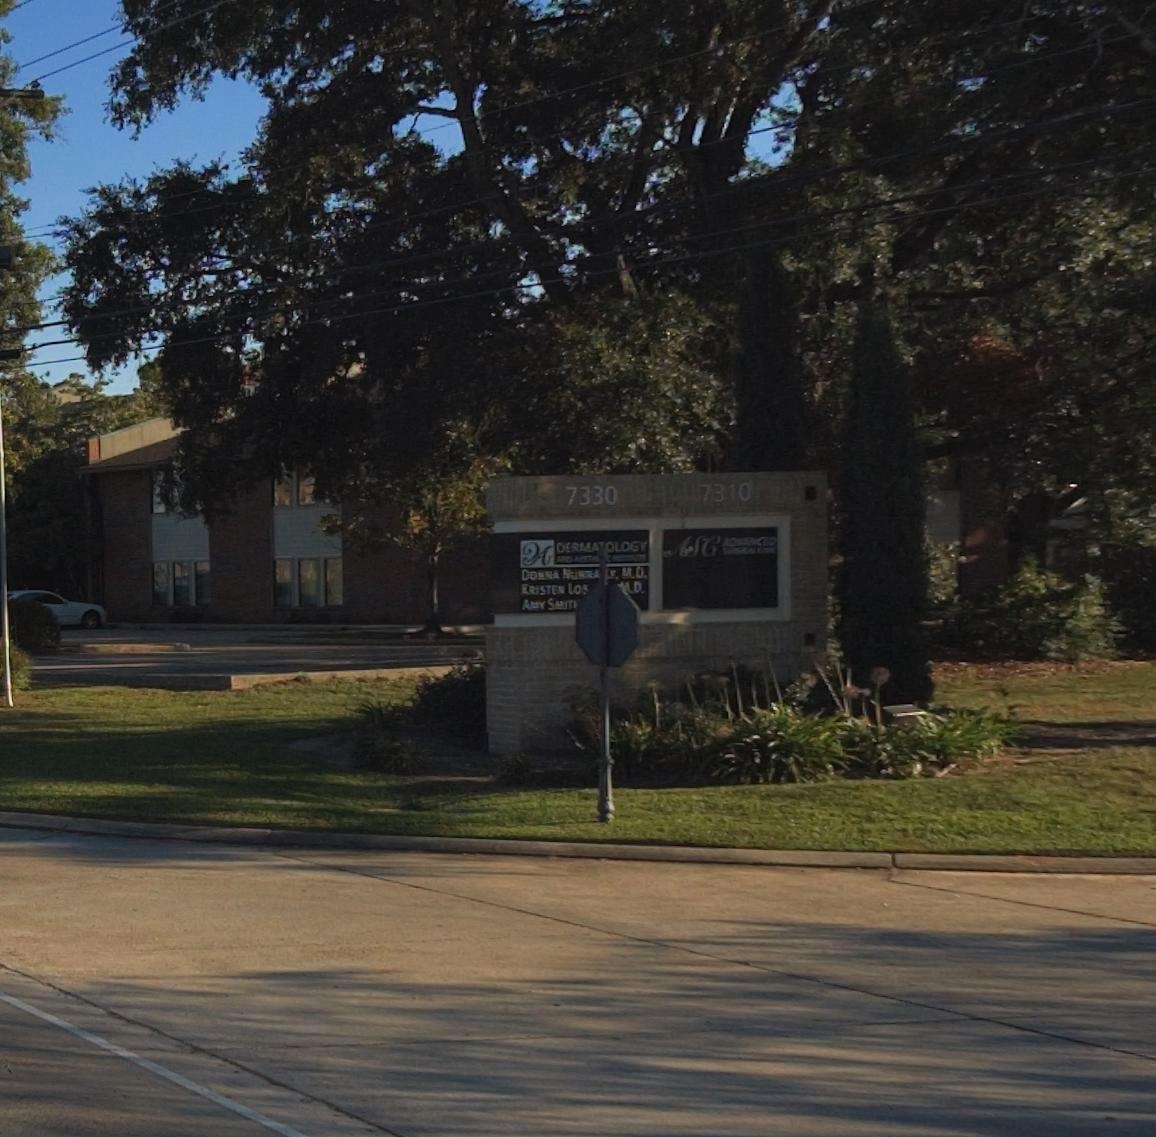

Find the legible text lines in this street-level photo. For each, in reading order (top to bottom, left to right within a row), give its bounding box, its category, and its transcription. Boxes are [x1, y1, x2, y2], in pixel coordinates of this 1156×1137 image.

[562, 484, 621, 508] StreetNumber: 7330
[695, 481, 752, 505] StreetNumber: 7310
[554, 539, 649, 556] BusinessName: DERMATOLOGY
[661, 532, 722, 559] BusinessName: ASG
[520, 566, 649, 582] None: DONNA *UNNA*Y, M.D.
[517, 581, 593, 598] None: KRISTEN LOS
[631, 580, 646, 595] None: d.
[521, 598, 579, 614] None: AMY SMIT